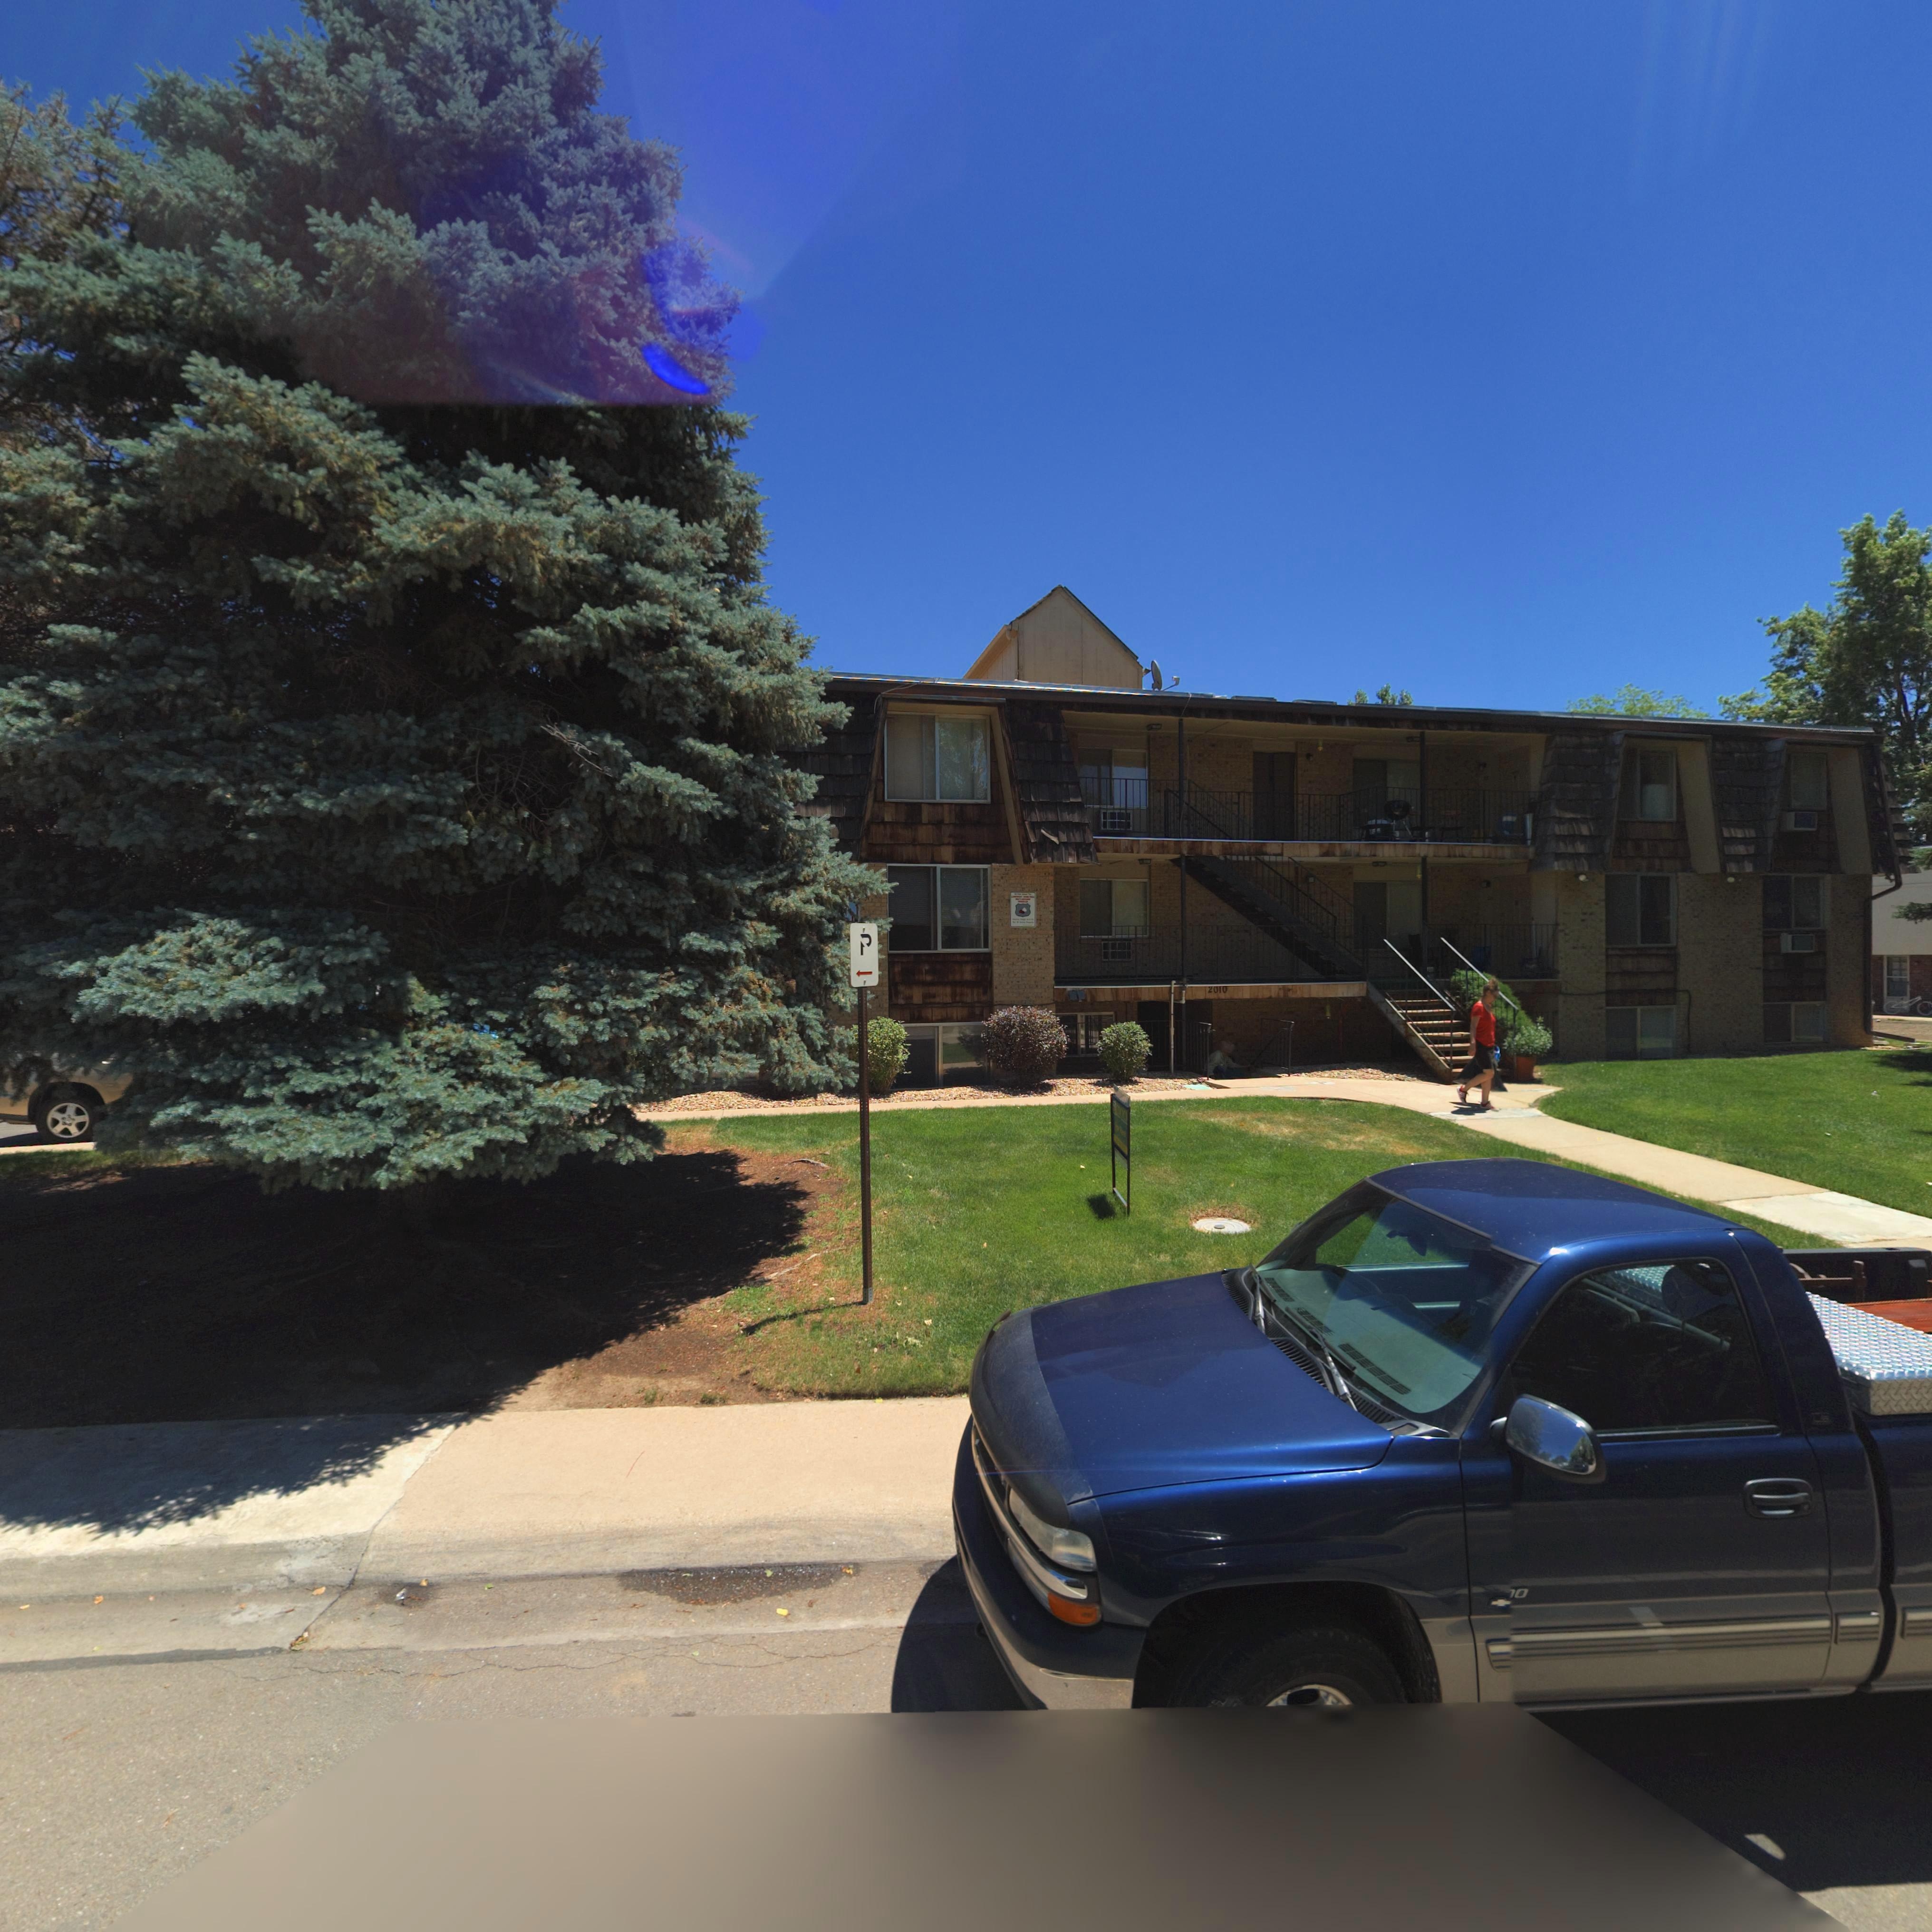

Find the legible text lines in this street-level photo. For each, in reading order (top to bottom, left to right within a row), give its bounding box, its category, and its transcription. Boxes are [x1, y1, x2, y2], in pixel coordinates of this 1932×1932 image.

[1207, 985, 1228, 993] StreetNumber: 2010